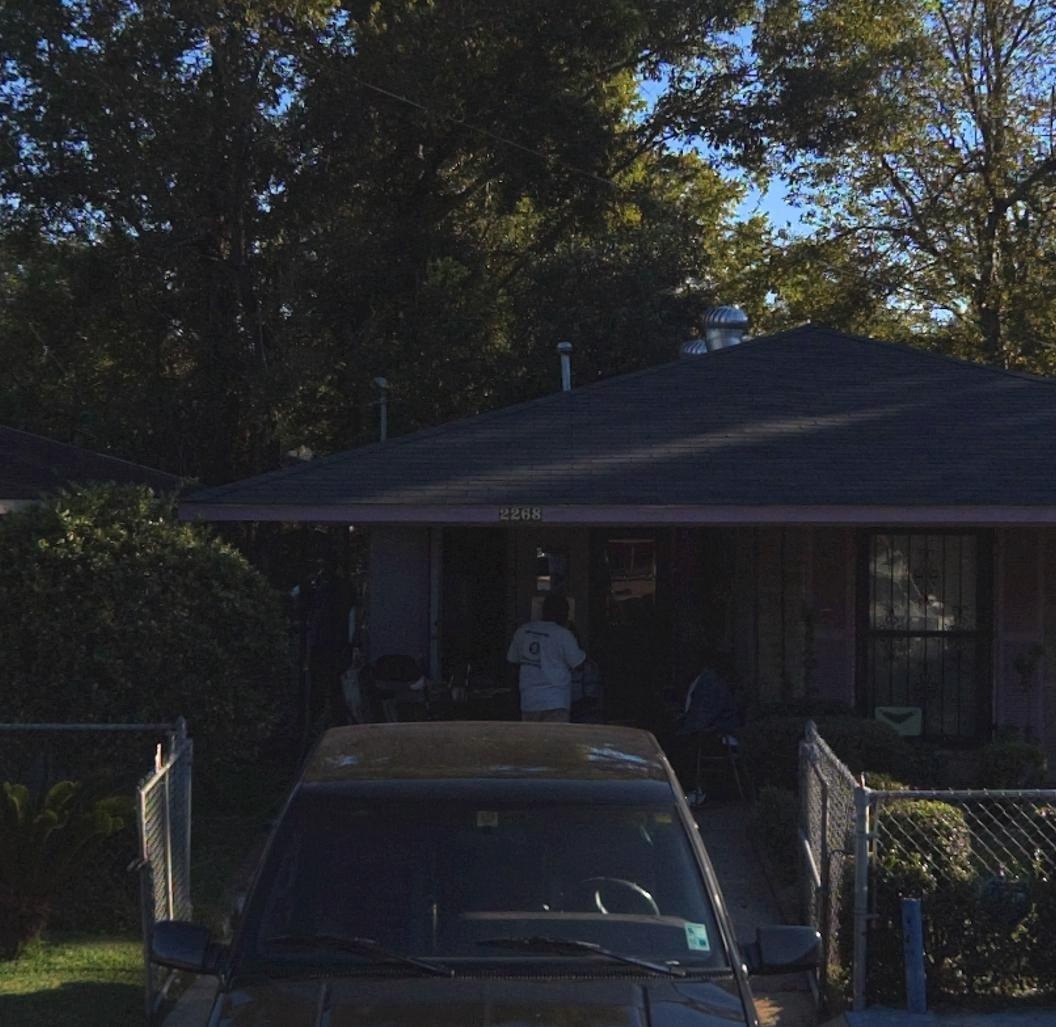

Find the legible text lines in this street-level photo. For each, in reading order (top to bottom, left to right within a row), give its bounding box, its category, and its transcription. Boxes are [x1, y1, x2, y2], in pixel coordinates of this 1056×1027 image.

[499, 507, 542, 521] StreetNumber: 2268